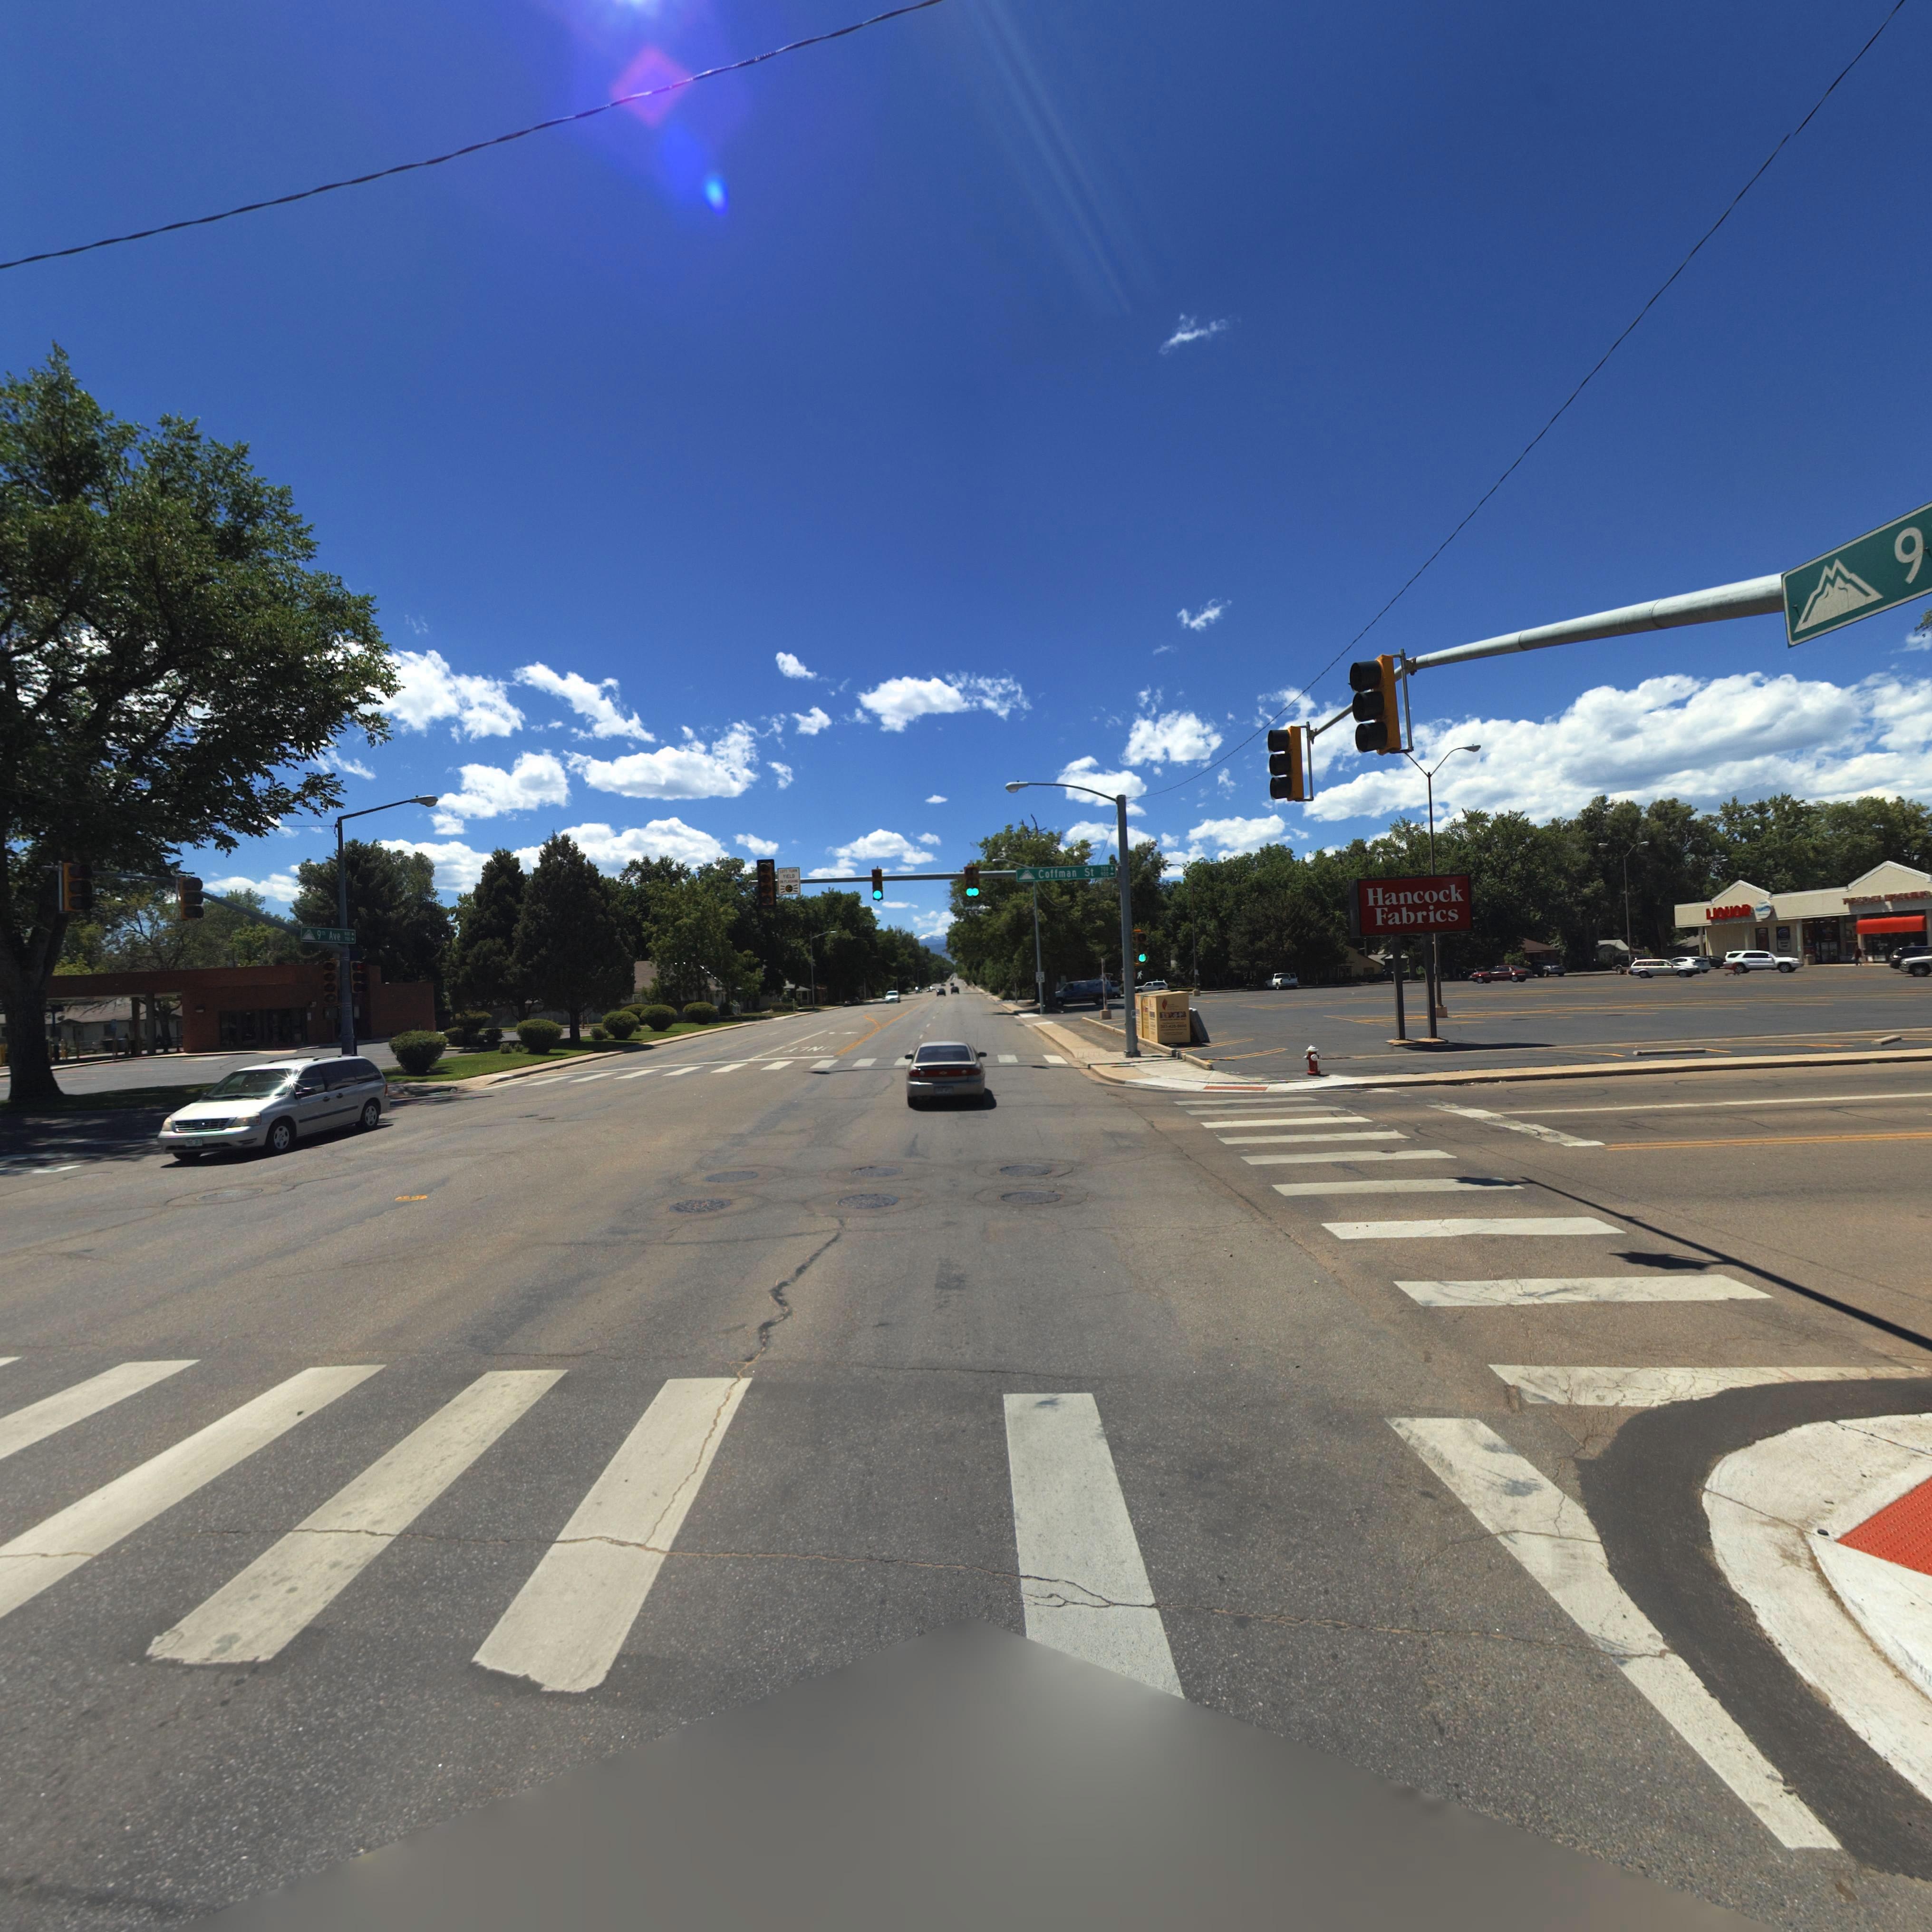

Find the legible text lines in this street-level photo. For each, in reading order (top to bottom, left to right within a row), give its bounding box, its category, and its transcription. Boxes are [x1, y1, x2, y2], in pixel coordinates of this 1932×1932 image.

[1892, 524, 1927, 588] StreetName: 9
[1037, 867, 1094, 879] StreetName: Coffman St
[1100, 866, 1109, 871] StreetNumberRange: 700
[1100, 871, 1114, 877] StreetName: 900 ->
[1365, 883, 1464, 907] BusinessName: Hancock
[1842, 890, 1931, 905] BusinessName: T**SDA* MOR****
[1374, 904, 1459, 926] BusinessName: Fabrics
[316, 929, 341, 941] StreetName: 9** Ave
[344, 931, 350, 936] StreetNumber: *00
[344, 936, 355, 942] StreetNumberRange: 700 ->